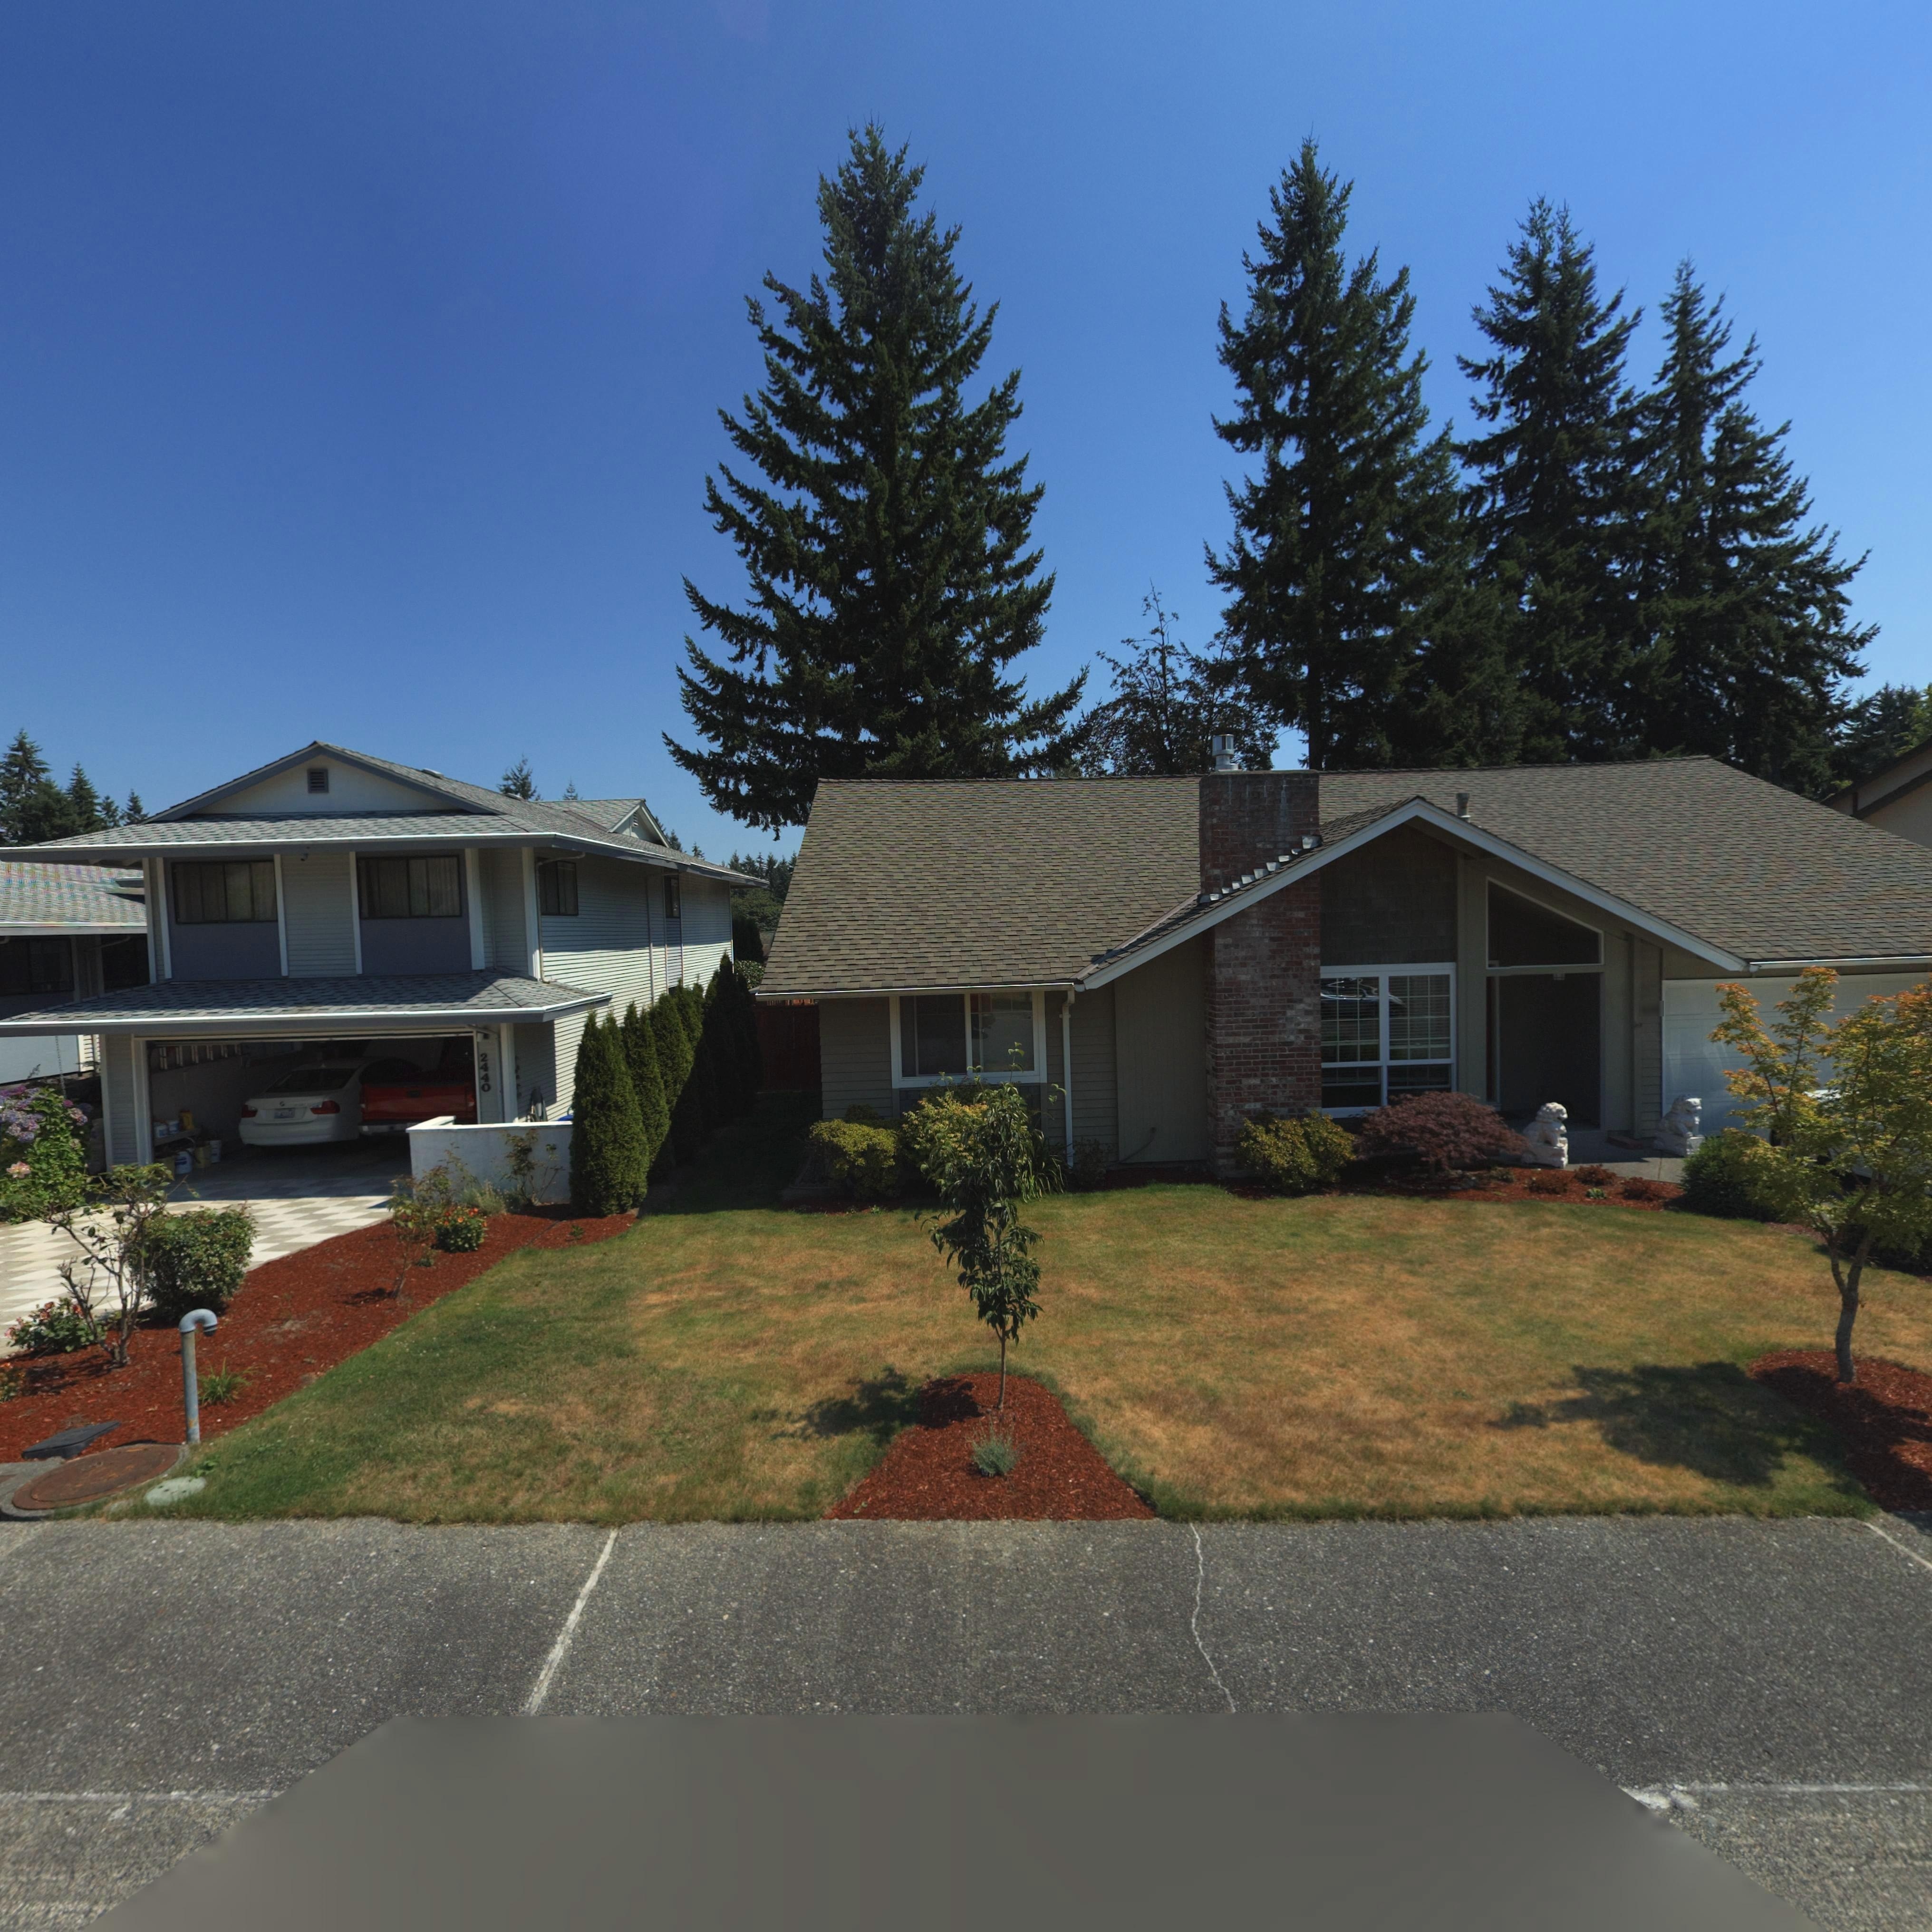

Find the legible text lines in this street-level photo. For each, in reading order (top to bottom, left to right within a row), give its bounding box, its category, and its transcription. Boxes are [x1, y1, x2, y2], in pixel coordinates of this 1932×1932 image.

[1639, 1001, 1664, 1016] LicensePlate: 3430
[479, 1053, 491, 1092] StreetNumber: 2440